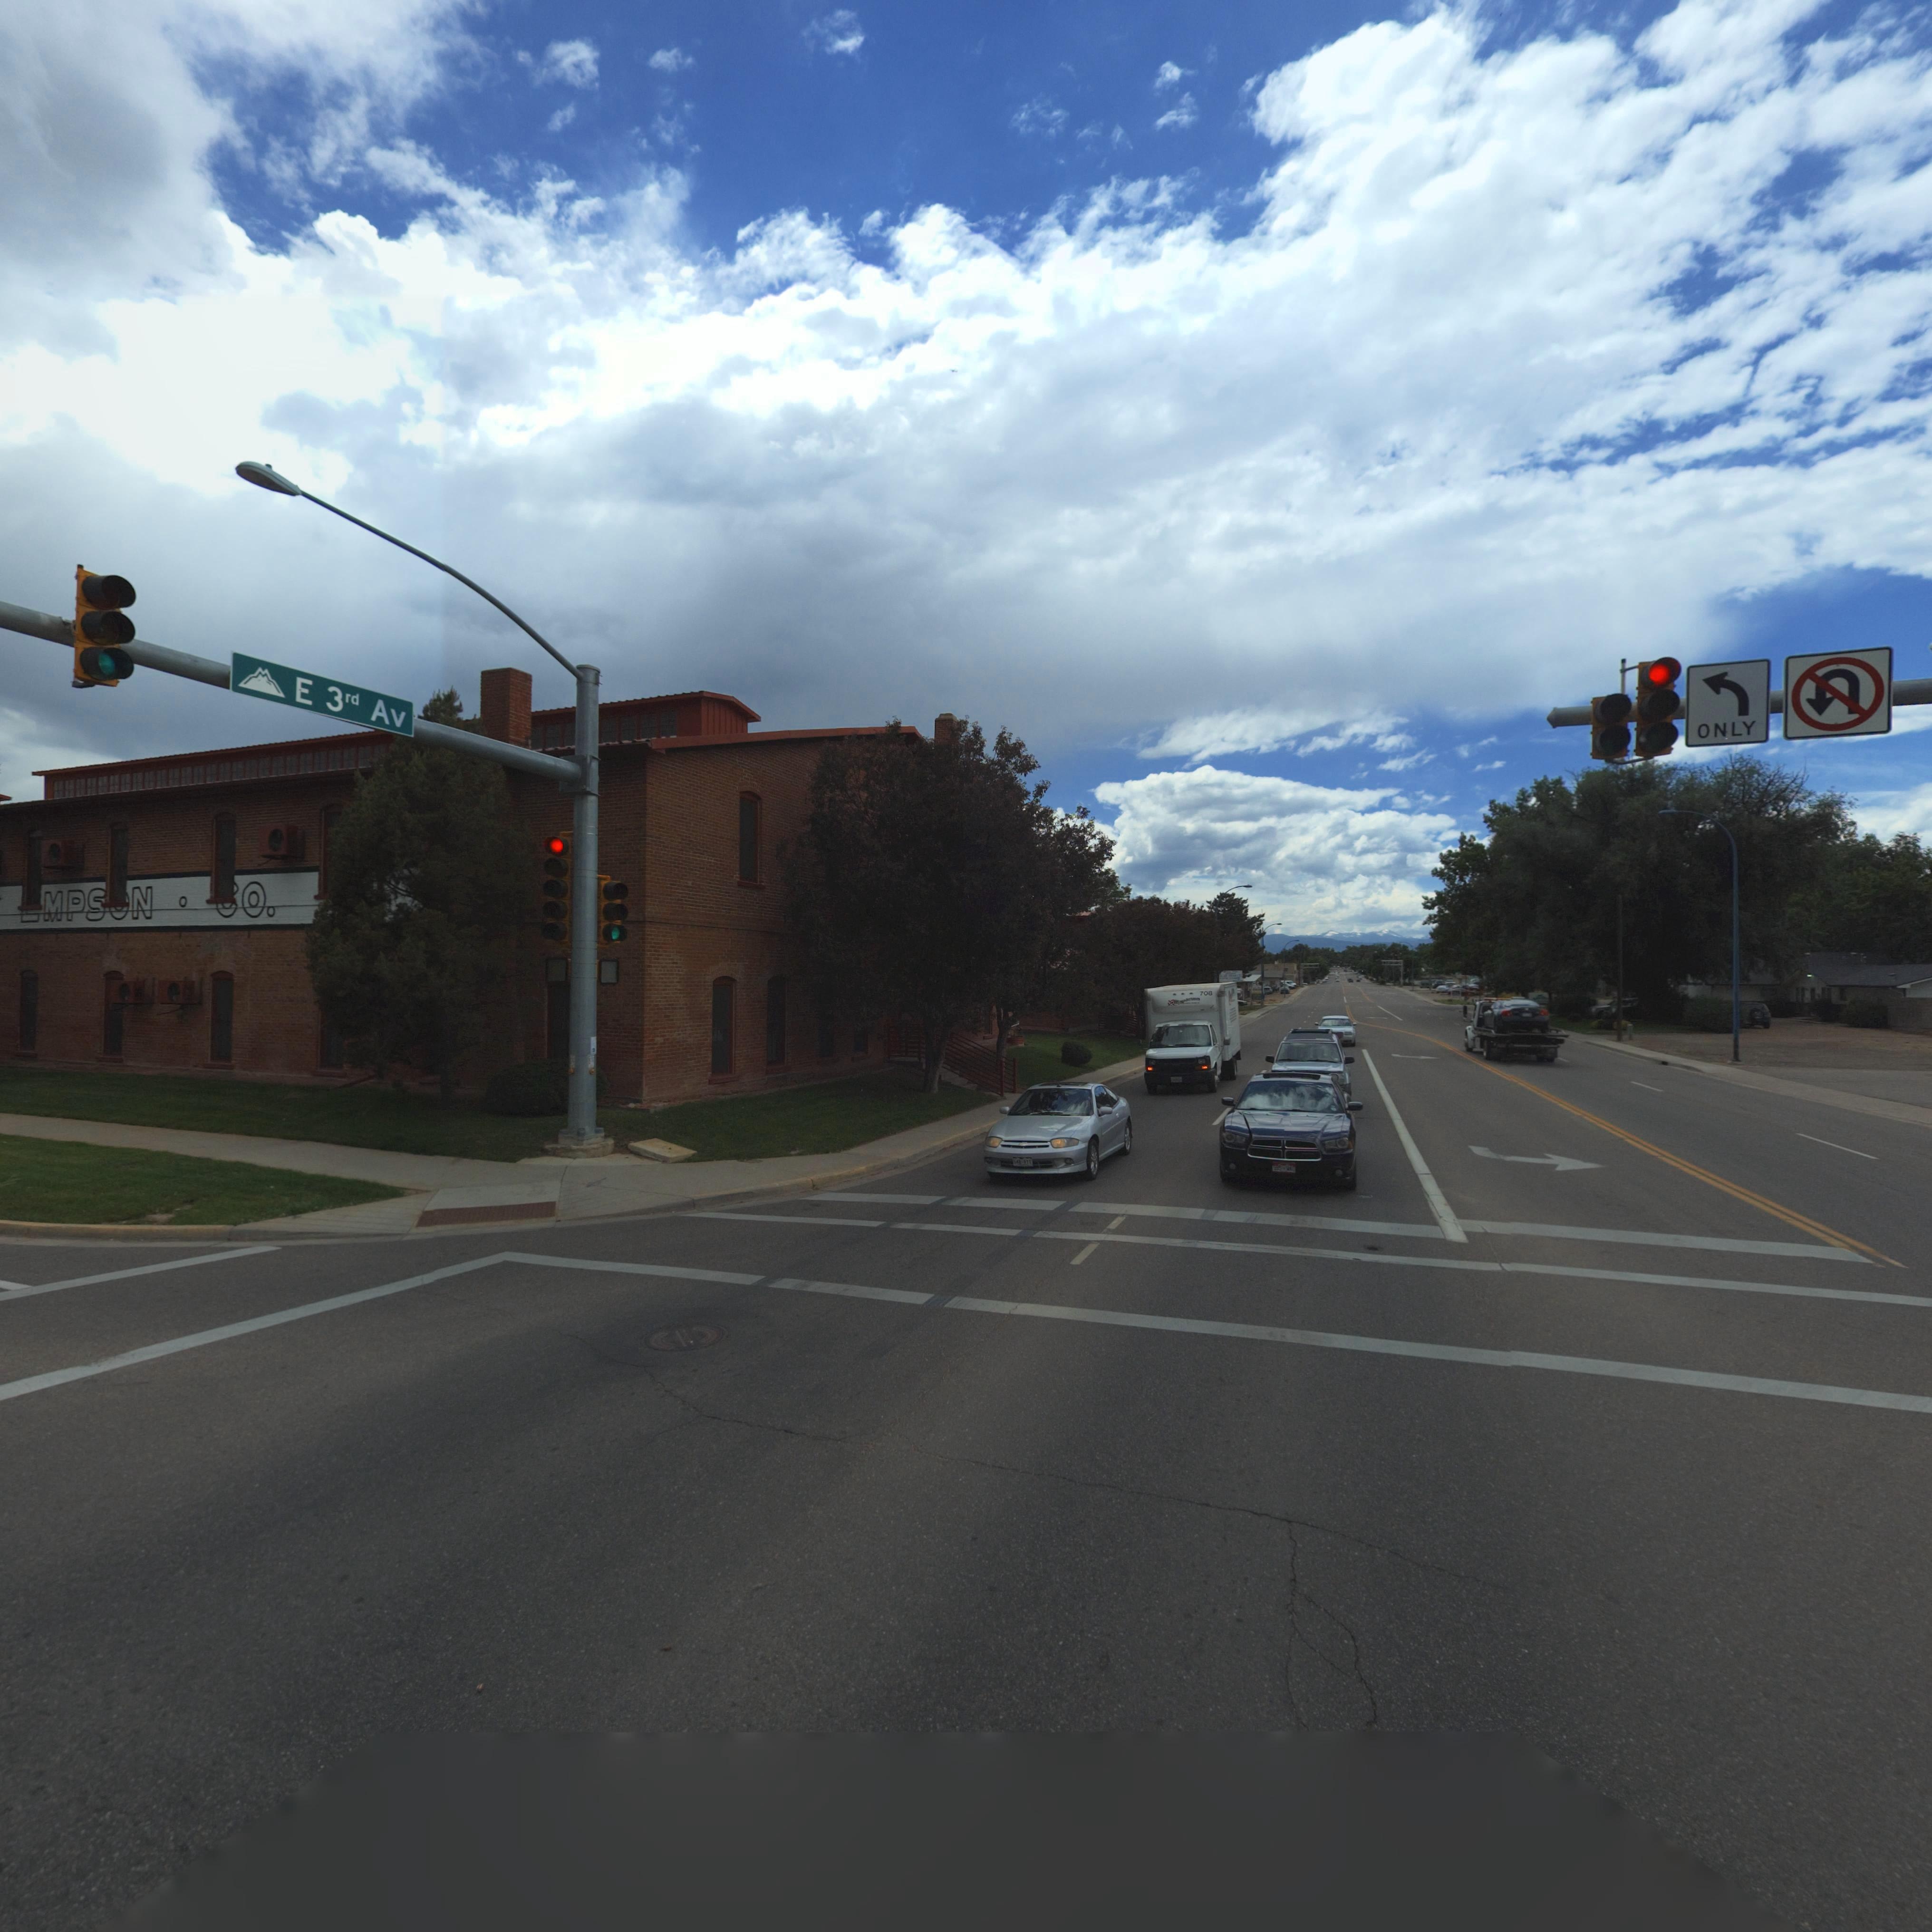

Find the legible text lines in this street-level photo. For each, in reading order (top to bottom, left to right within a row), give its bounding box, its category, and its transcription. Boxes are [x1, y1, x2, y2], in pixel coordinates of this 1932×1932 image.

[294, 675, 407, 729] StreetName: E 3rd Av